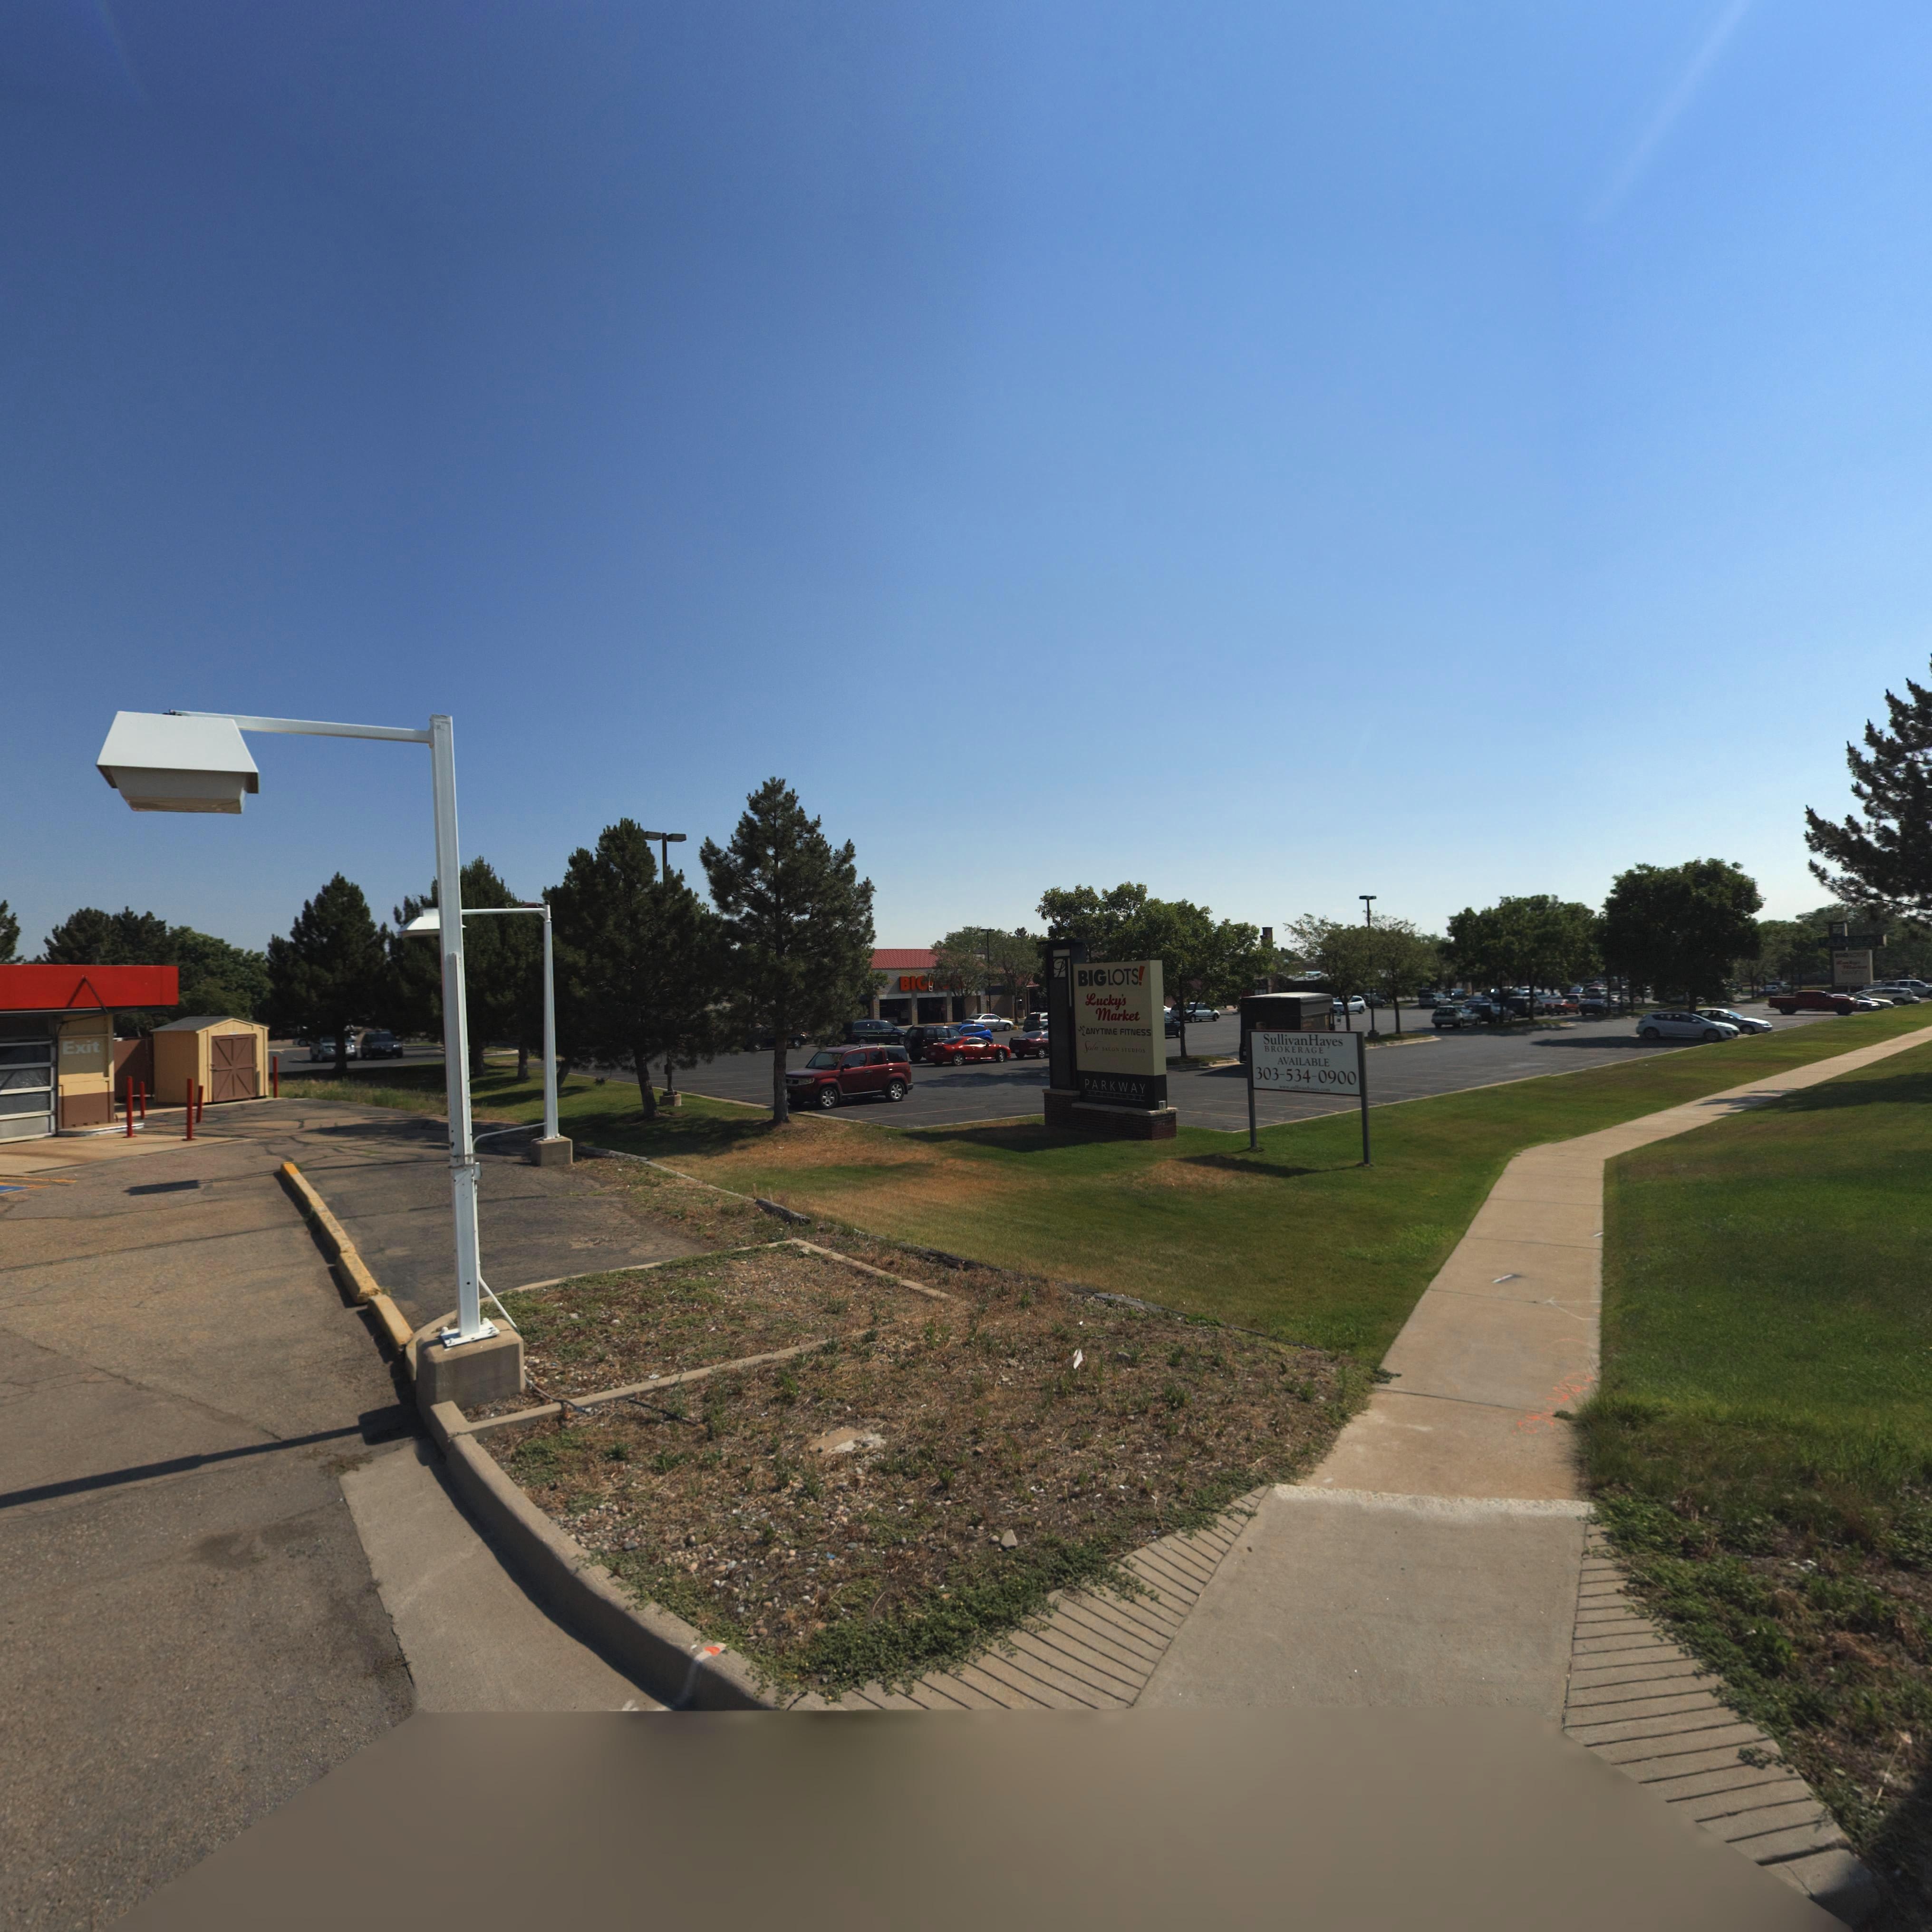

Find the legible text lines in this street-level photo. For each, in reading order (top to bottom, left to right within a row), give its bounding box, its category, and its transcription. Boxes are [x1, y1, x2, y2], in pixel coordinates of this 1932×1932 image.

[1835, 951, 1868, 958] BusinessName: *** *O**
[899, 973, 965, 991] BusinessName: BIG!****
[1078, 965, 1146, 986] BusinessName: BIG LOTS!
[1084, 992, 1127, 1011] BusinessName: Lucky's
[1095, 1007, 1140, 1022] BusinessName: Market
[1085, 1027, 1151, 1036] BusinessName: ANYTIME FITNESS
[1083, 1040, 1145, 1053] BusinessName: Sola SALON STUDIOS